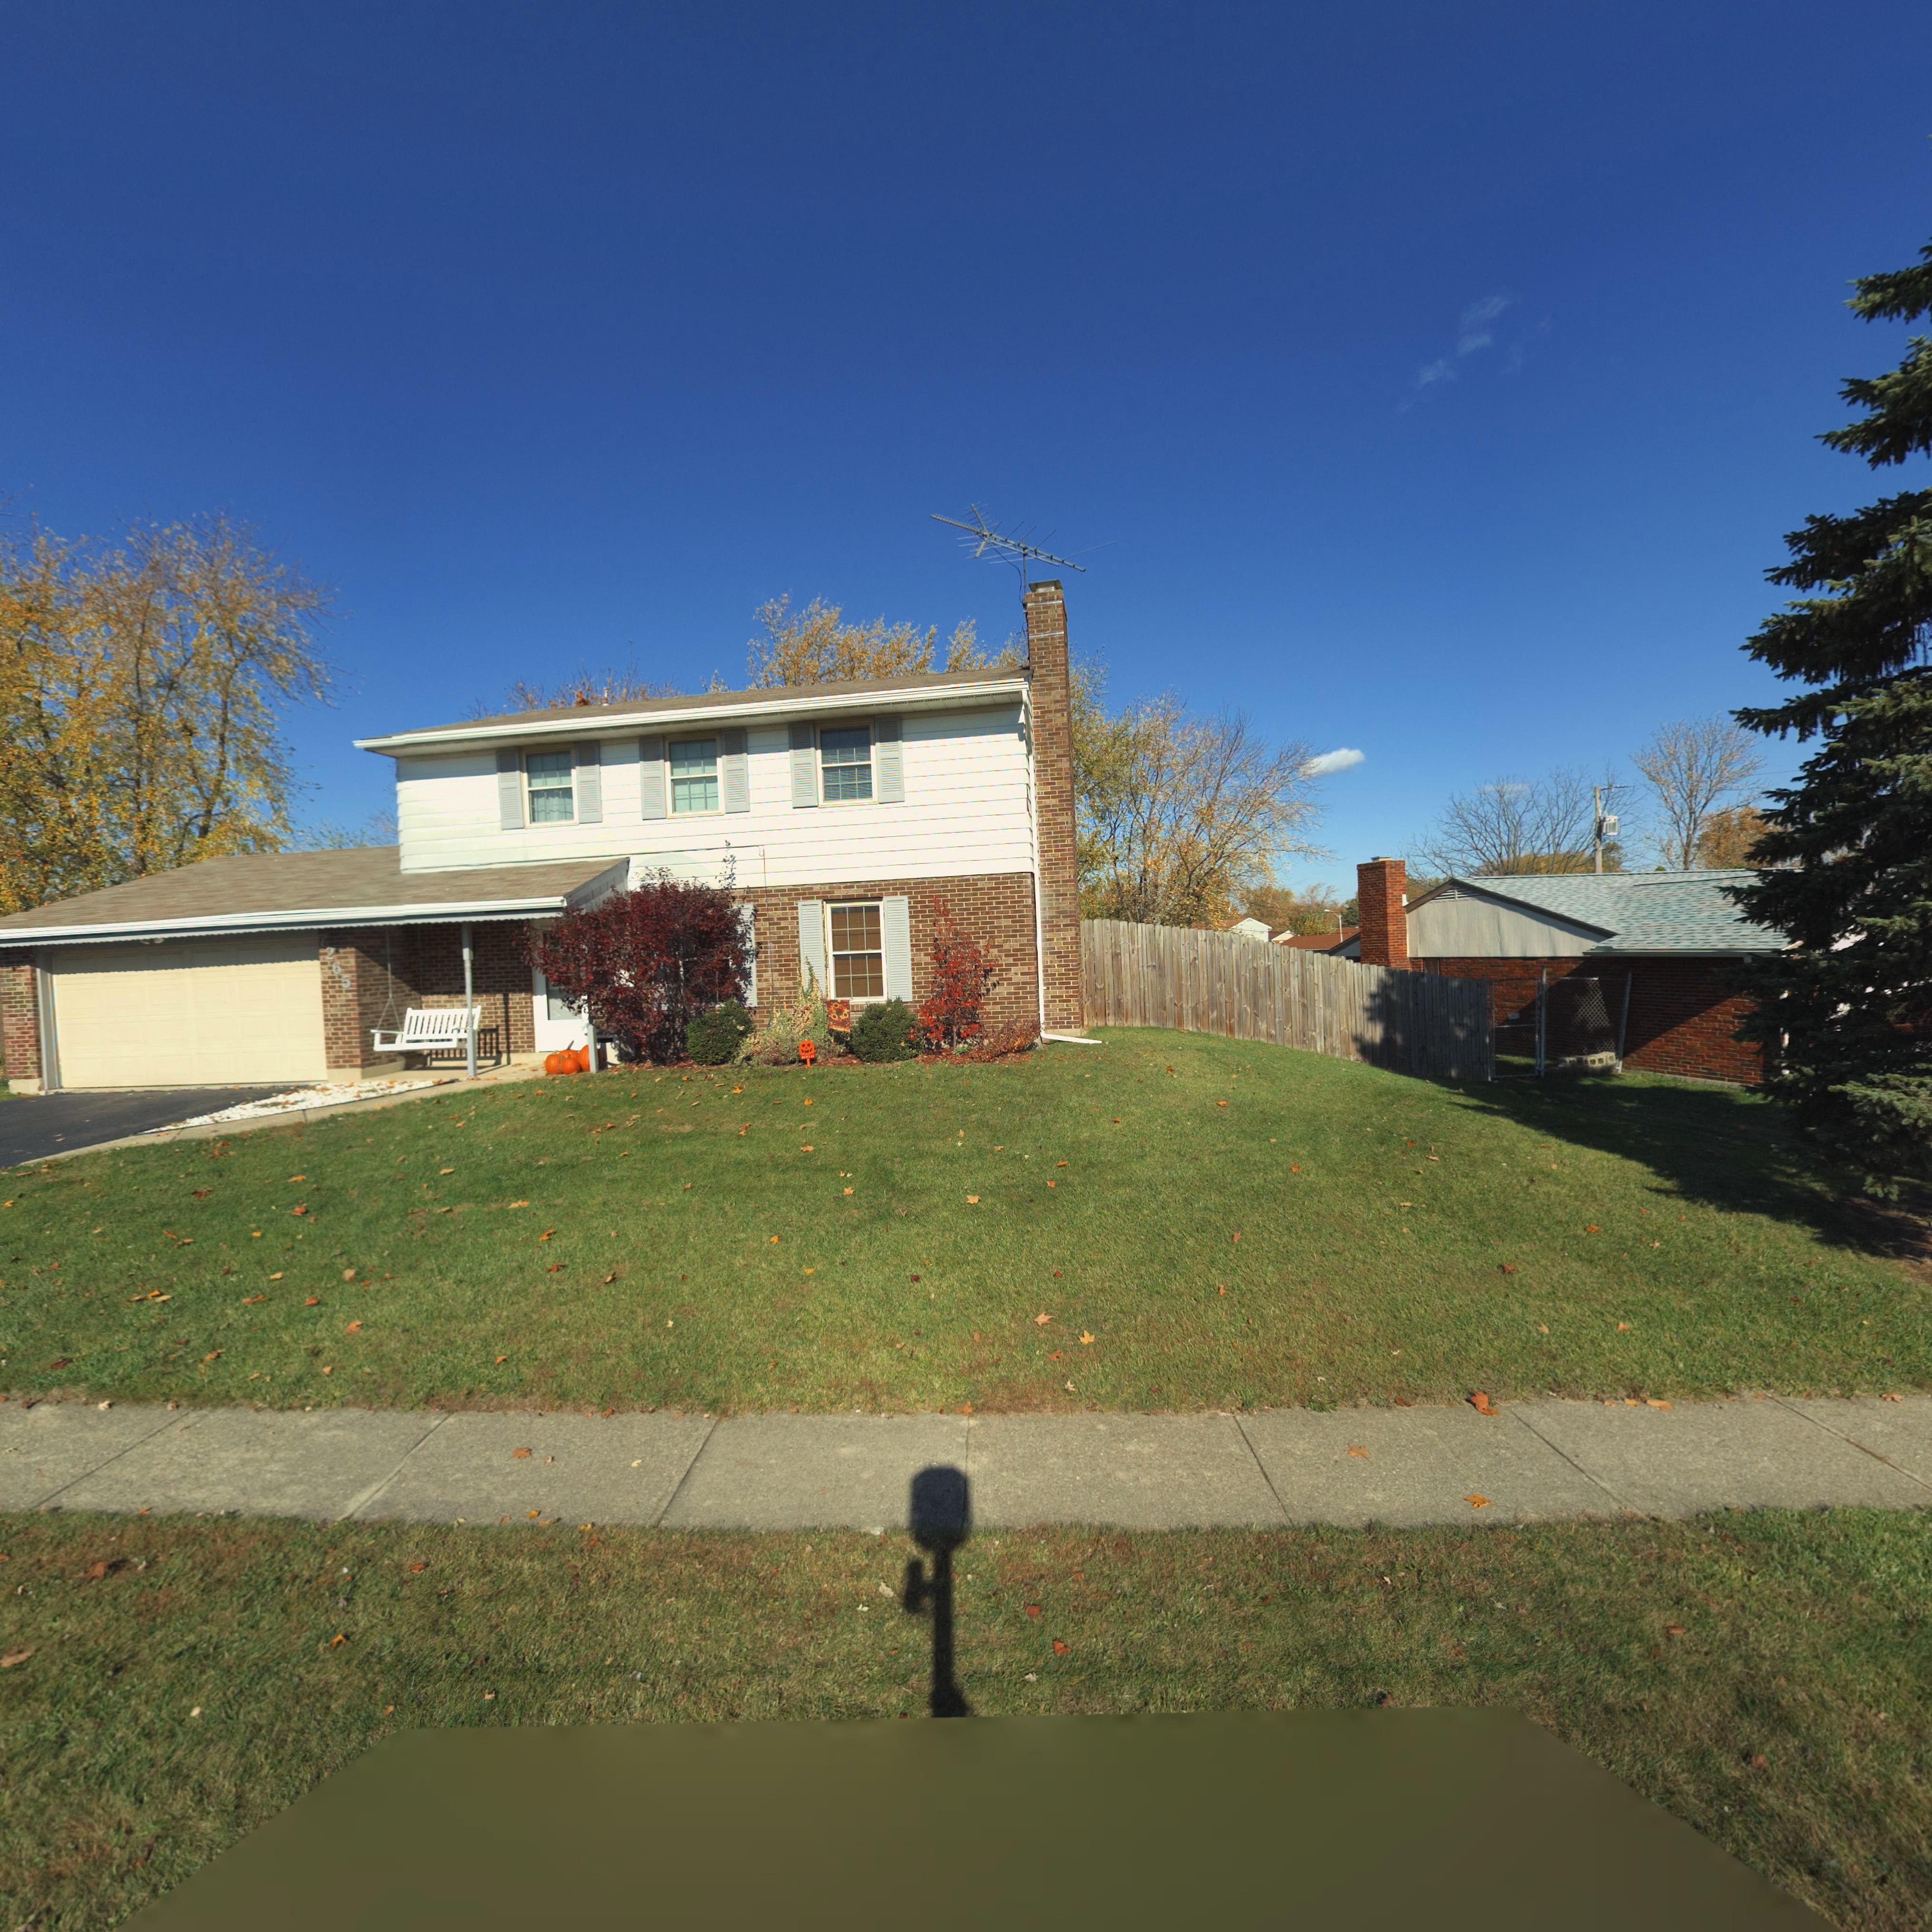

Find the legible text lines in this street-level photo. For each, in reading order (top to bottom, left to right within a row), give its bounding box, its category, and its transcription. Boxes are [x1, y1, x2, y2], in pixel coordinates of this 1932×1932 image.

[318, 932, 353, 991] StreetNumber: 7265